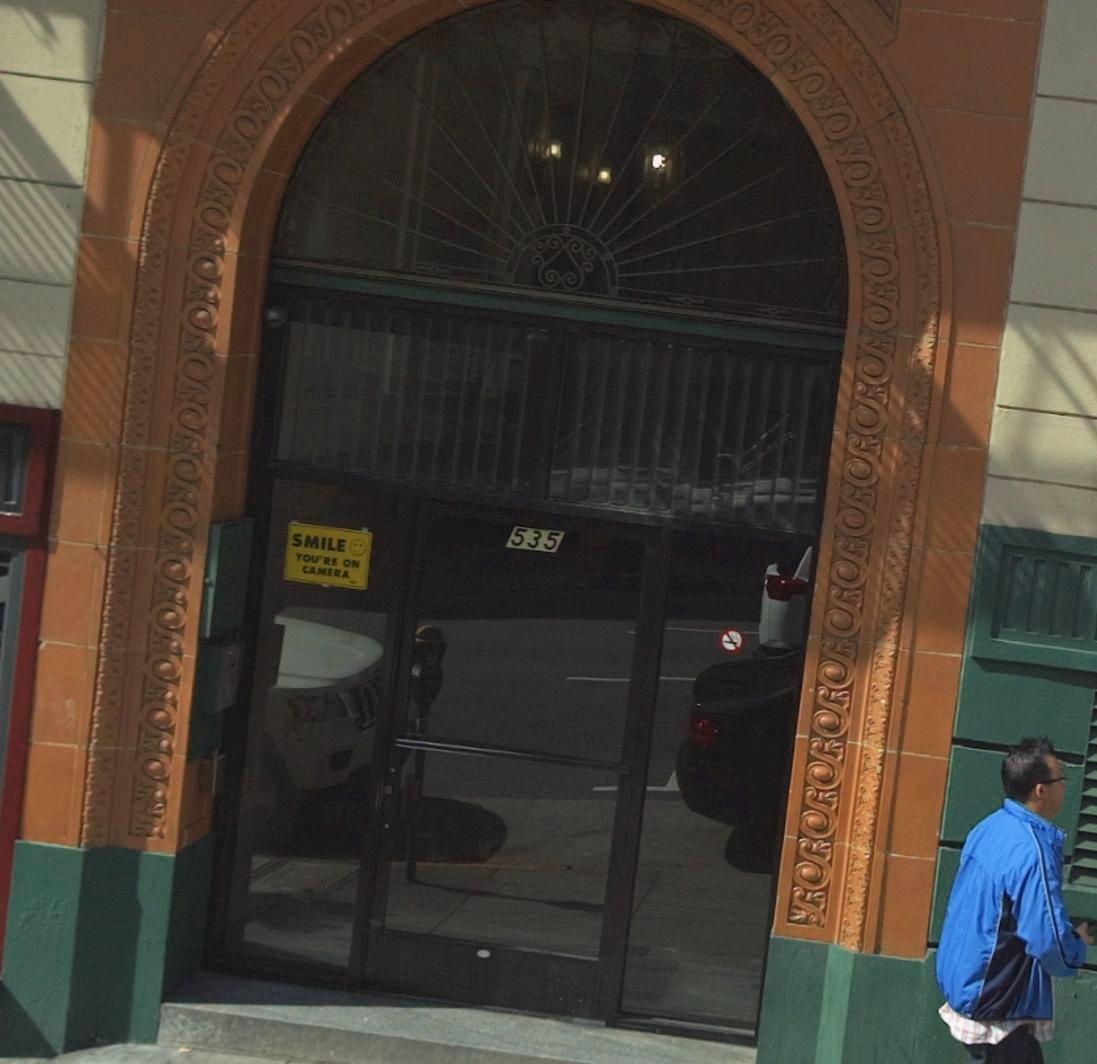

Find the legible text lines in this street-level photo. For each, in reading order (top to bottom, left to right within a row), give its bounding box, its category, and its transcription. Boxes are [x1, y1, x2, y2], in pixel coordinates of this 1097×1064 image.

[286, 526, 351, 559] None: SMILE
[504, 526, 567, 554] StreetNumber: 535
[296, 560, 354, 584] None: CAMERA
[289, 547, 365, 575] None: YOU'RE ON